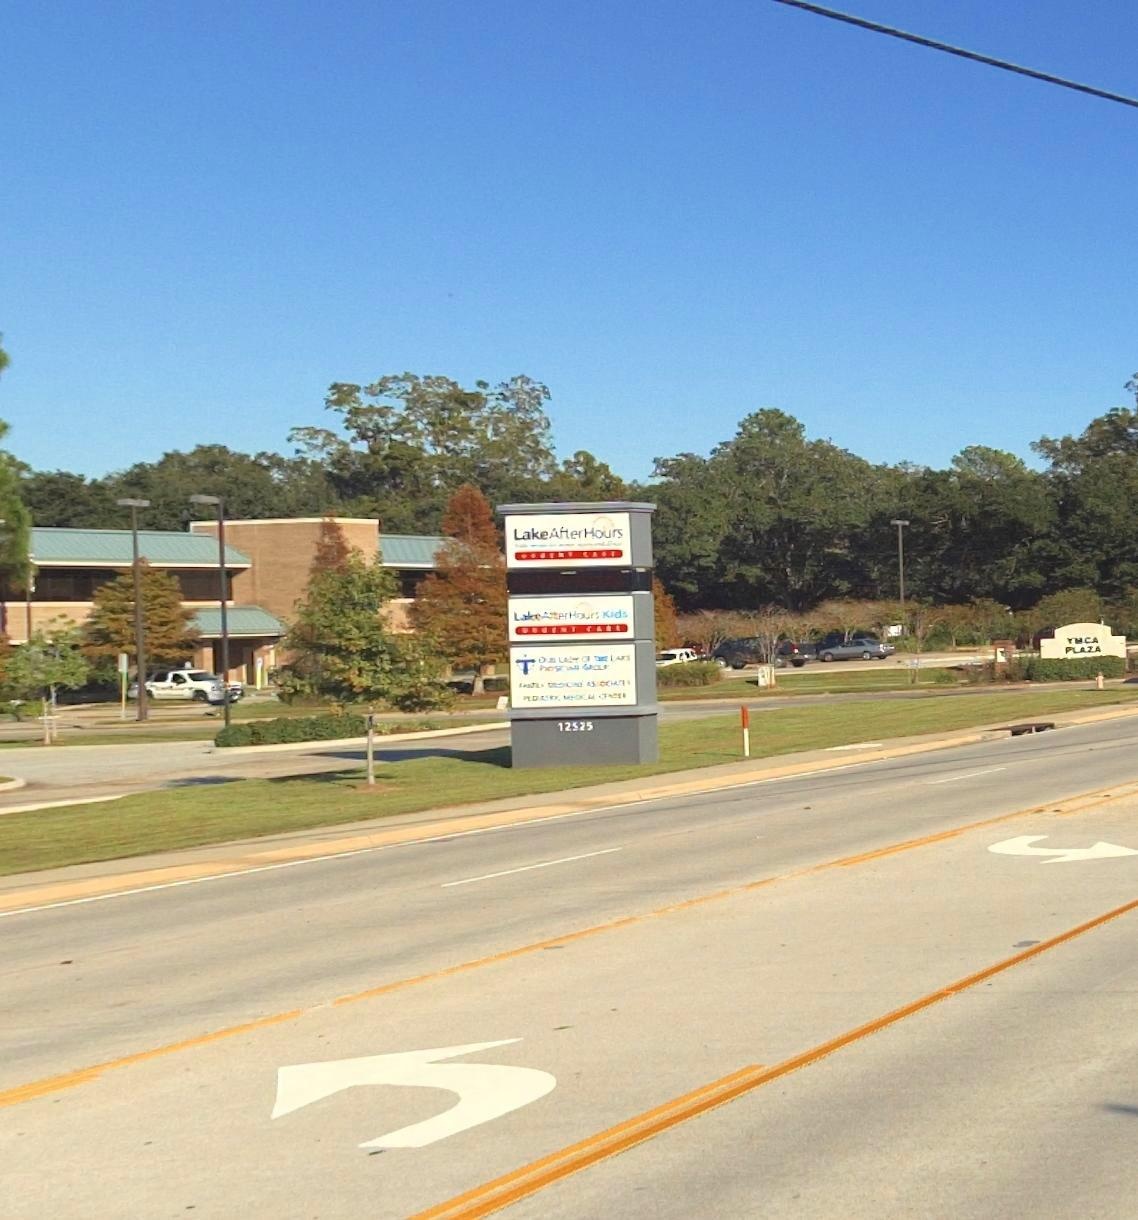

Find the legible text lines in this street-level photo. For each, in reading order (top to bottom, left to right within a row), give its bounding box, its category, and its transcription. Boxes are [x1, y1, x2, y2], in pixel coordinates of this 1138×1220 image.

[513, 526, 624, 542] BusinessName: LakeAfterHours
[512, 607, 629, 622] BusinessName: LakeA**erHours Kids
[1066, 636, 1100, 645] BusinessName: YMCA
[1064, 645, 1102, 655] None: PLAZA
[556, 720, 596, 732] StreetNumber: 12525